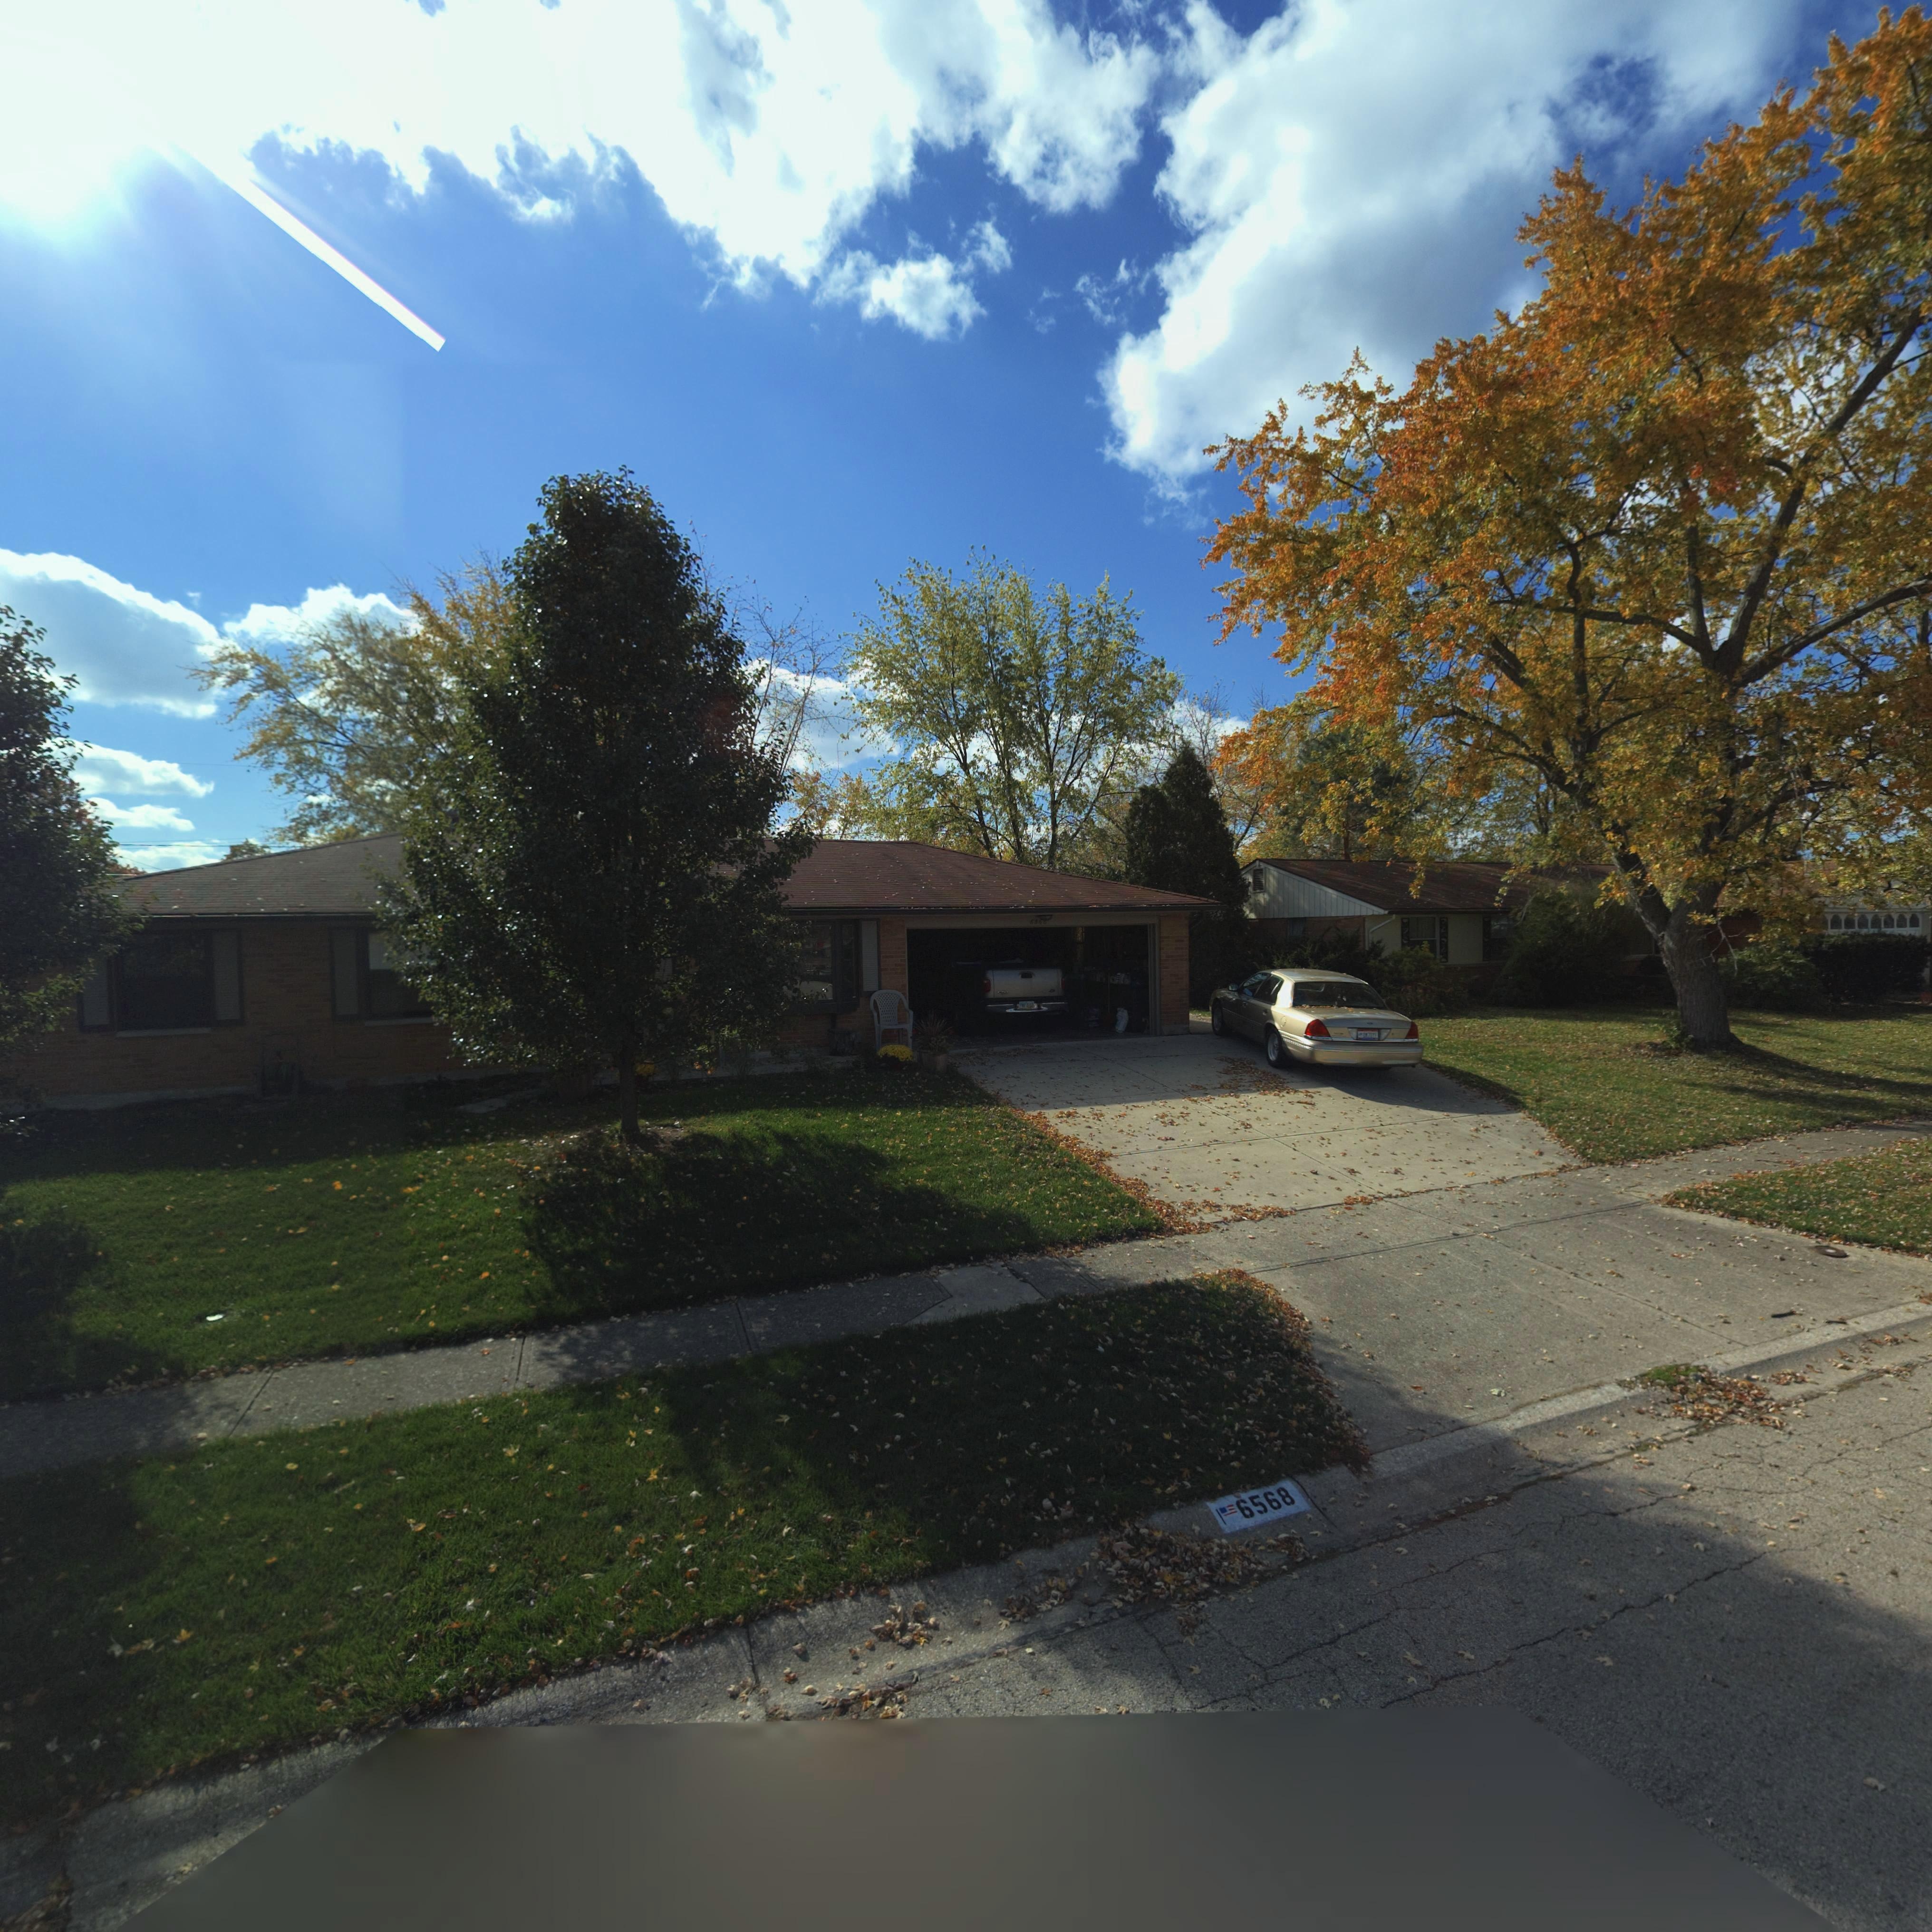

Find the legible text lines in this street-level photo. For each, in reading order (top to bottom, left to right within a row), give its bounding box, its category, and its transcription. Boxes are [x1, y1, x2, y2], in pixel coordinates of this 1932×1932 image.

[1029, 918, 1047, 925] StreetNumber: 6568
[1235, 1486, 1295, 1519] StreetNumber: 6568